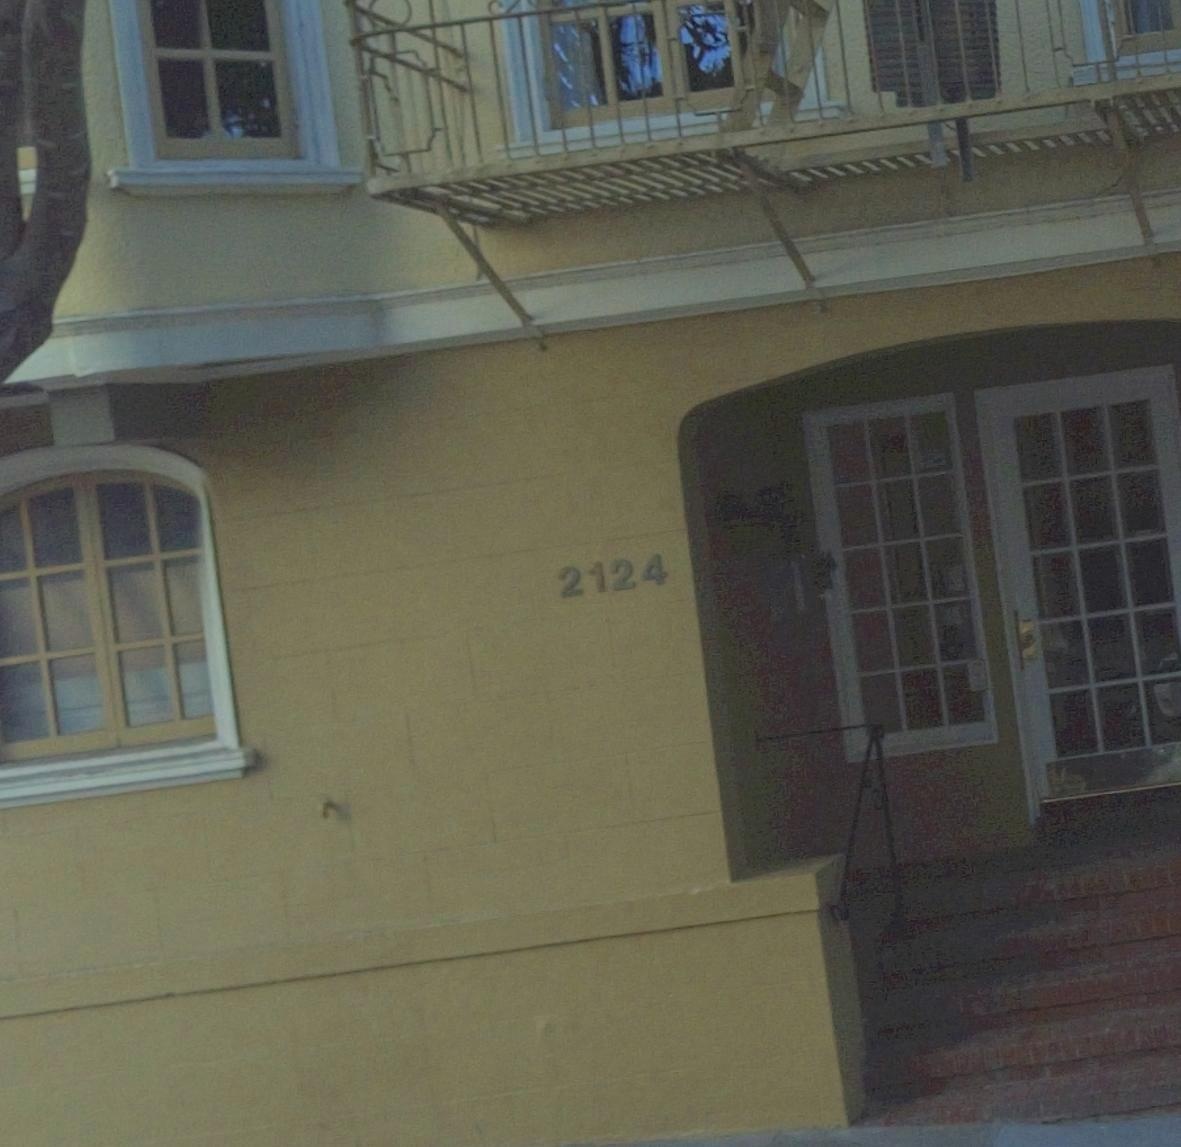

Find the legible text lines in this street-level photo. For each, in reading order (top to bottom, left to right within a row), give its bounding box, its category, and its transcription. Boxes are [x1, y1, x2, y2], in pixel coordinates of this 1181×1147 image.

[550, 549, 672, 603] StreetNumber: 2124